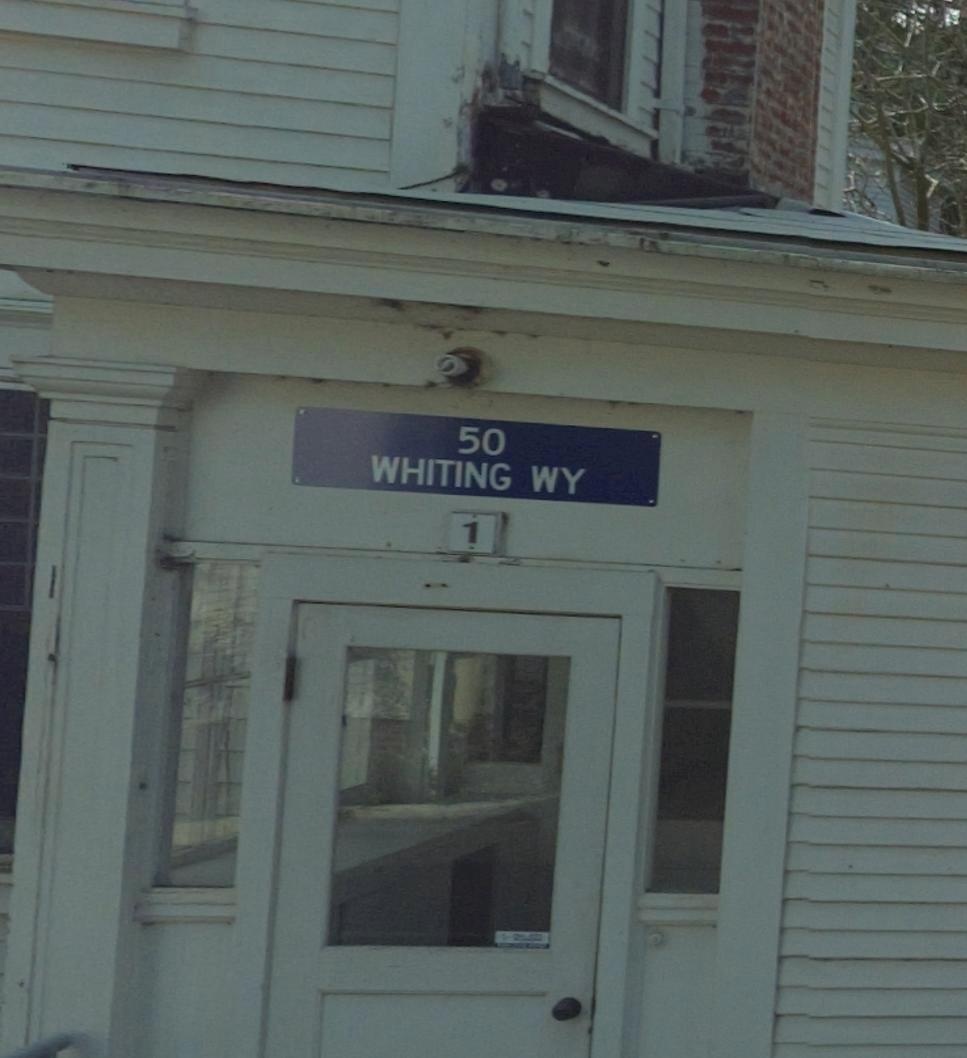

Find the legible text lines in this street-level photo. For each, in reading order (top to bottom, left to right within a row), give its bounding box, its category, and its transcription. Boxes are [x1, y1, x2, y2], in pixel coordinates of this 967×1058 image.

[457, 425, 506, 457] StreetNumber: 1
[370, 453, 589, 496] StreetName: WHITING WY
[460, 519, 479, 546] SecondaryUnitDesignator: 1